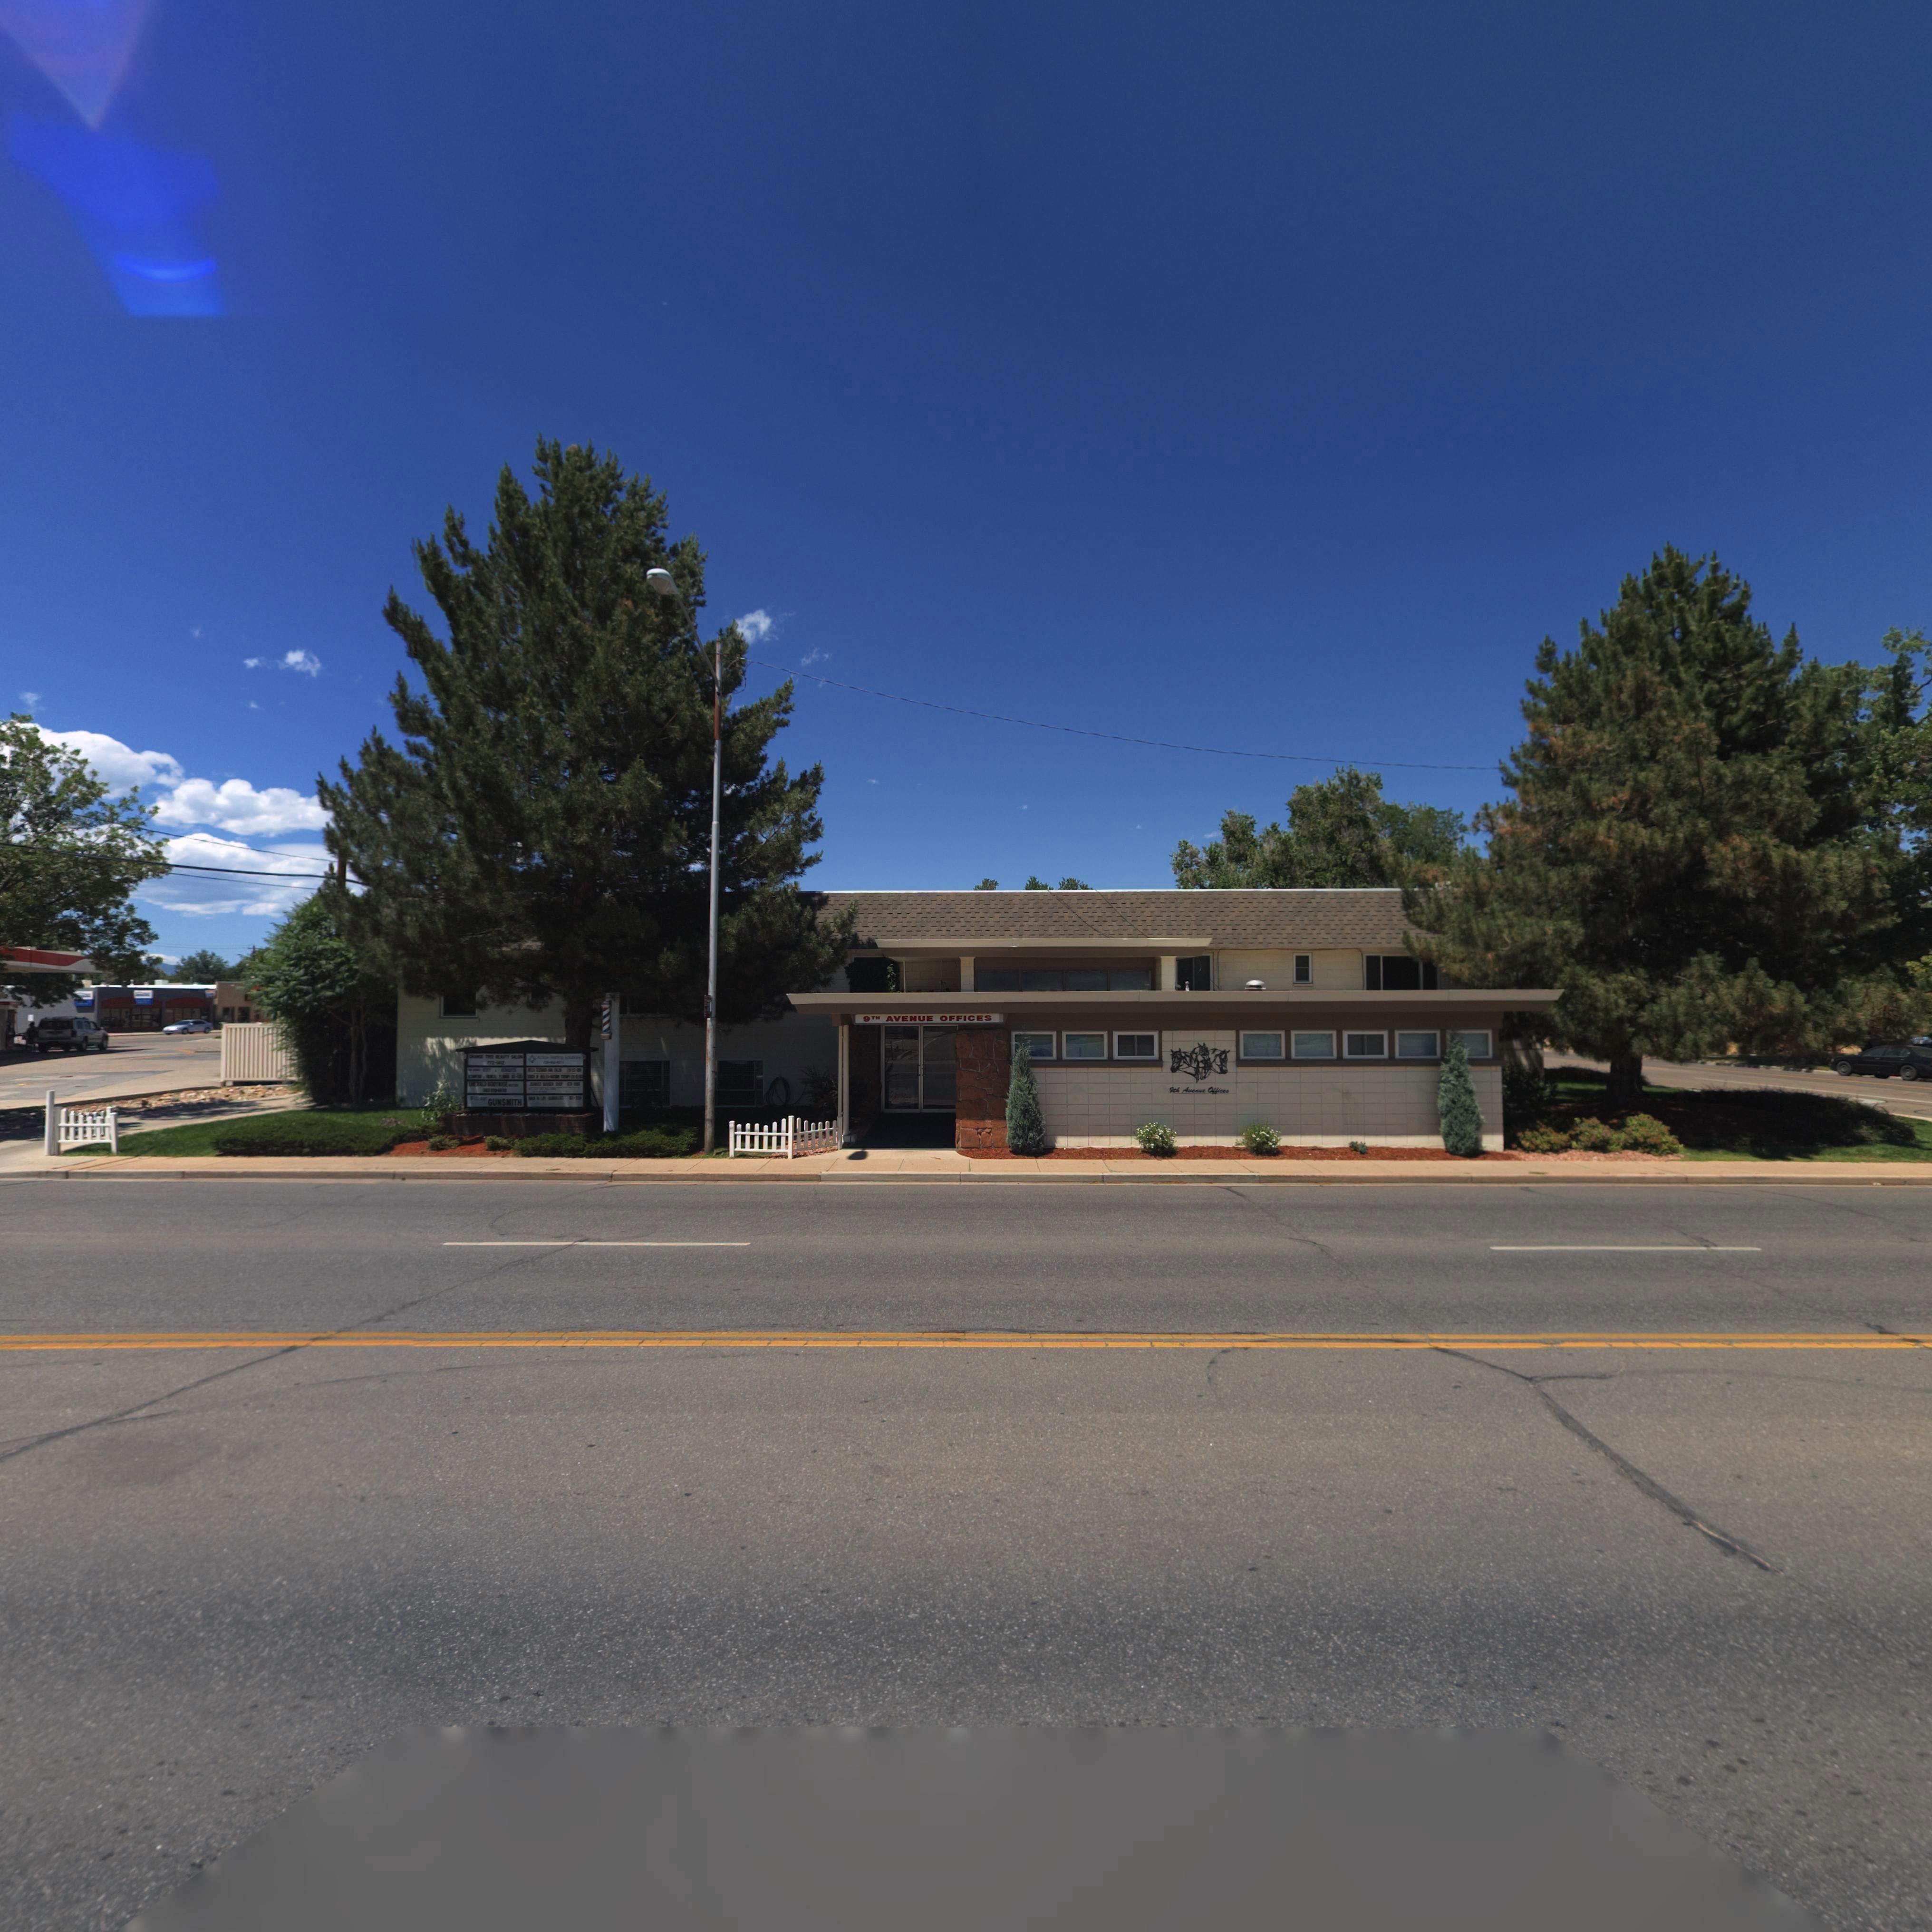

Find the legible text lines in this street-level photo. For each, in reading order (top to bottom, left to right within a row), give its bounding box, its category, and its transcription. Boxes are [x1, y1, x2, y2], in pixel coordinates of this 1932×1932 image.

[468, 1053, 523, 1059] StreetNumber: ORANGE TREE BEAUTY SALON
[536, 1054, 581, 1060] BusinessName: Action Staffing Solutions
[468, 1081, 508, 1087] None: EMERALD BODYWISE
[487, 1098, 522, 1106] BusinessName: GUNSMITH